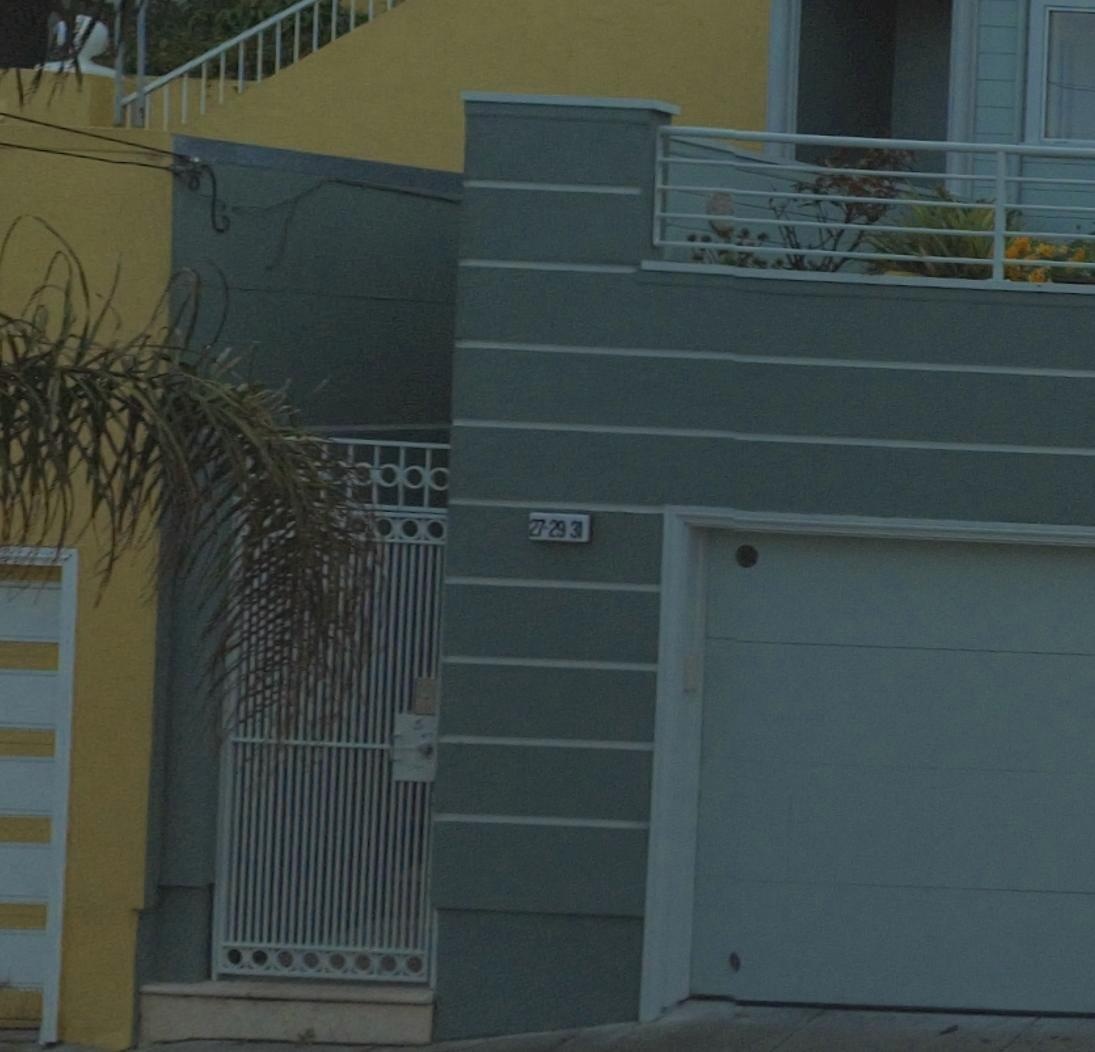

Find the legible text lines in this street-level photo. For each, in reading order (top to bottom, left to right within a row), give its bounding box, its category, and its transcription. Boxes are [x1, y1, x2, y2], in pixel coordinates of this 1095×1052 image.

[528, 517, 545, 538] StreetNumber: 27
[549, 519, 565, 537] StreetNumber: 29
[568, 519, 583, 538] StreetNumber: 31